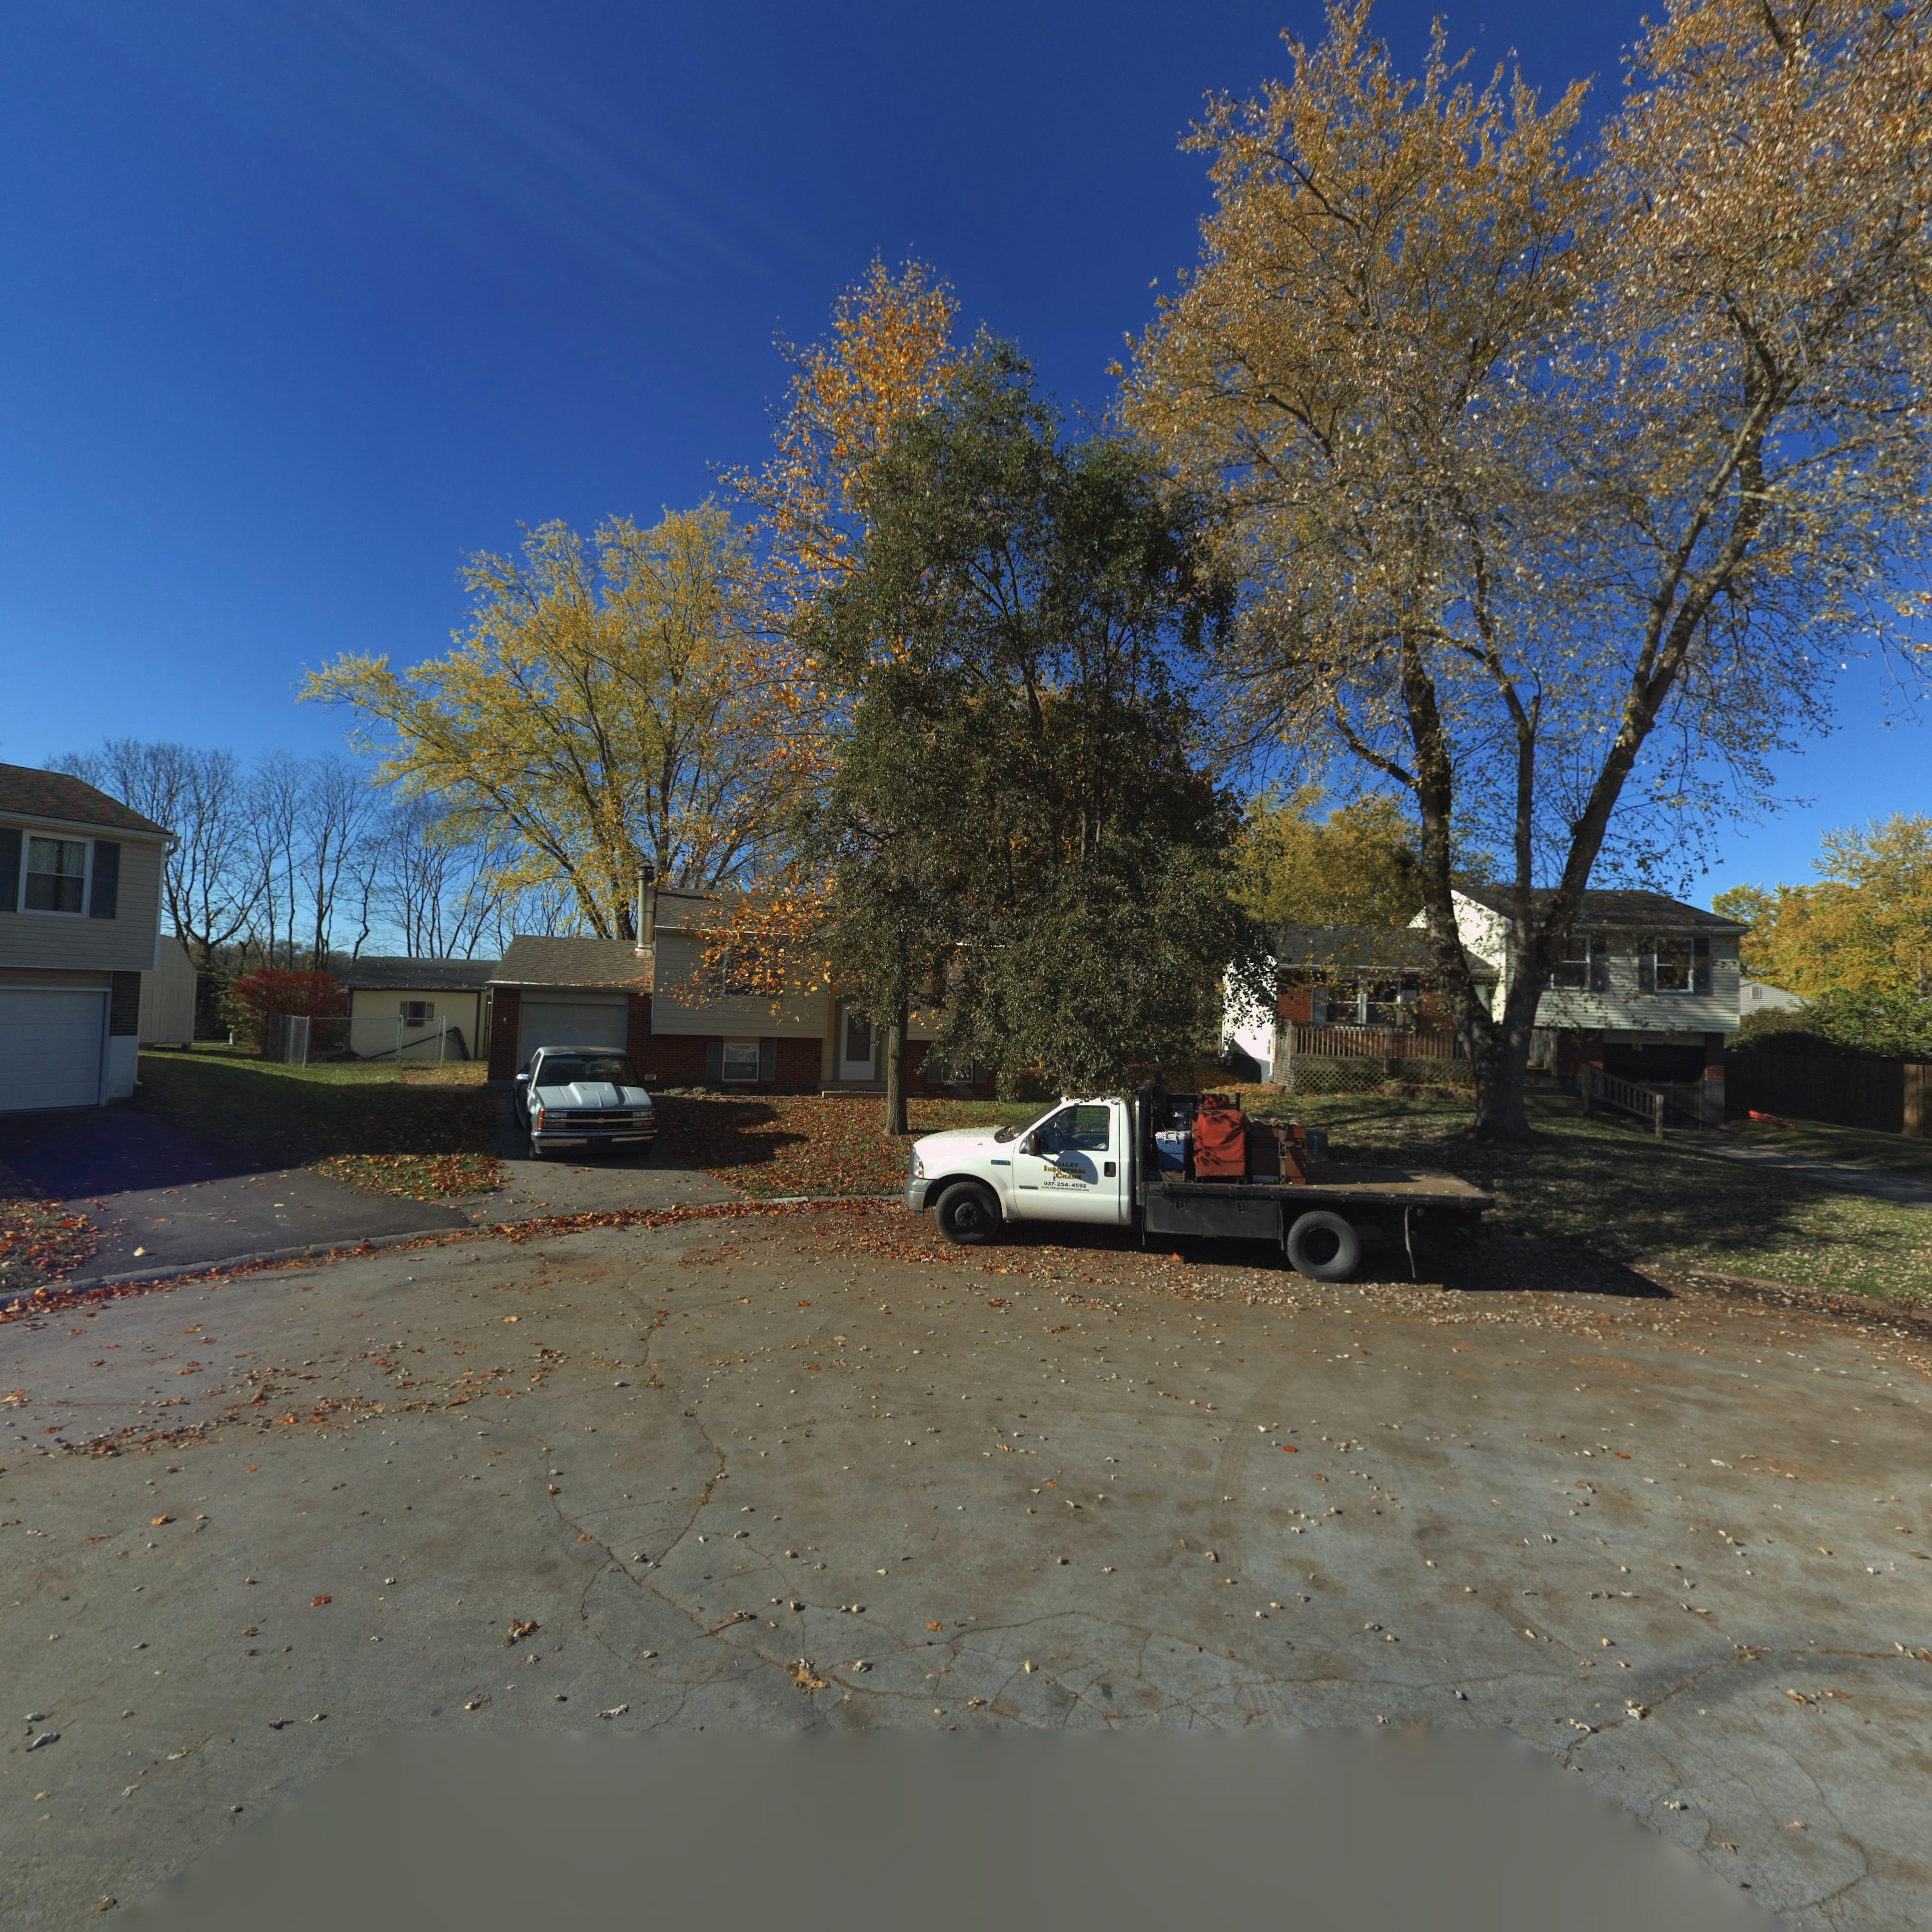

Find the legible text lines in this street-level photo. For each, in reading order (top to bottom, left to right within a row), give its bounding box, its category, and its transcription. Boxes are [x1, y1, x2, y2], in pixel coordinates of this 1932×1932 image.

[810, 1031, 820, 1036] StreetNumber: 105